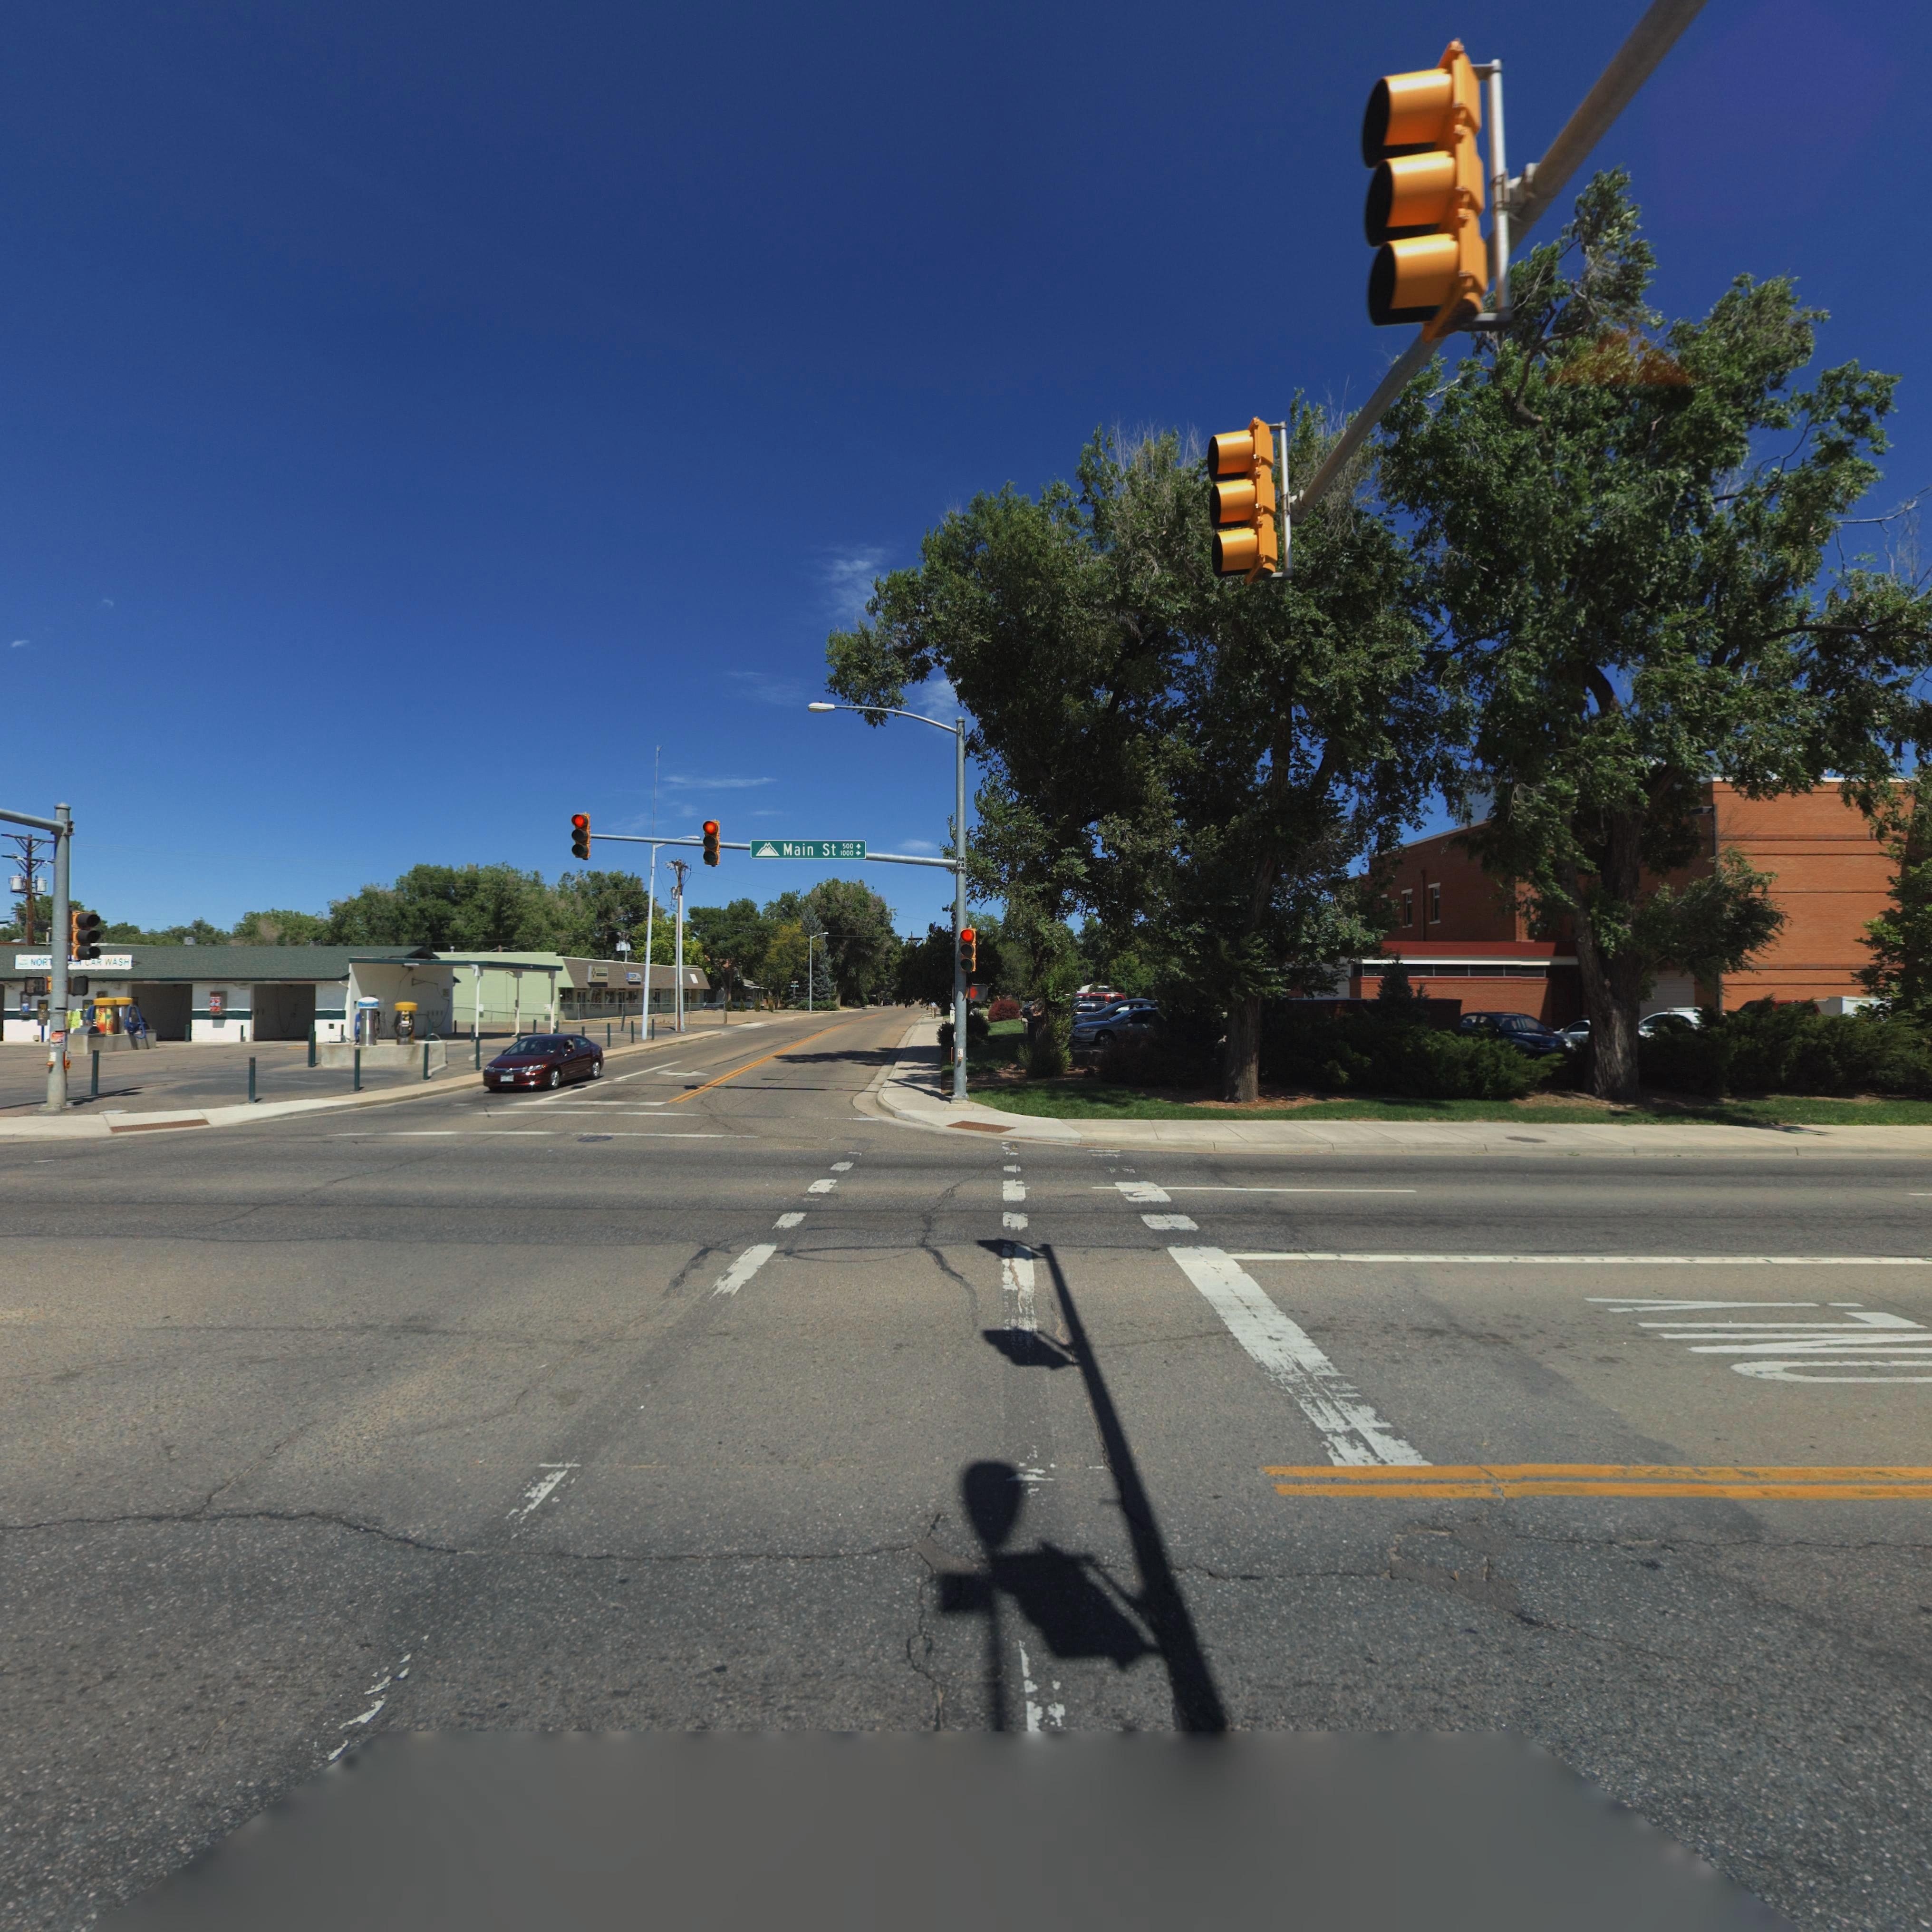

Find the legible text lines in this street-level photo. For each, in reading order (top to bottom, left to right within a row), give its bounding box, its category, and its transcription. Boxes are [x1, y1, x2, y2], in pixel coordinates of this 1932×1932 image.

[783, 842, 836, 856] StreetName: Main St
[842, 843, 853, 849] StreetNumberRange: 500
[840, 850, 861, 856] StreetNumberRange: 1000 ->
[30, 957, 130, 966] BusinessName: NOR** *** *AR WASH